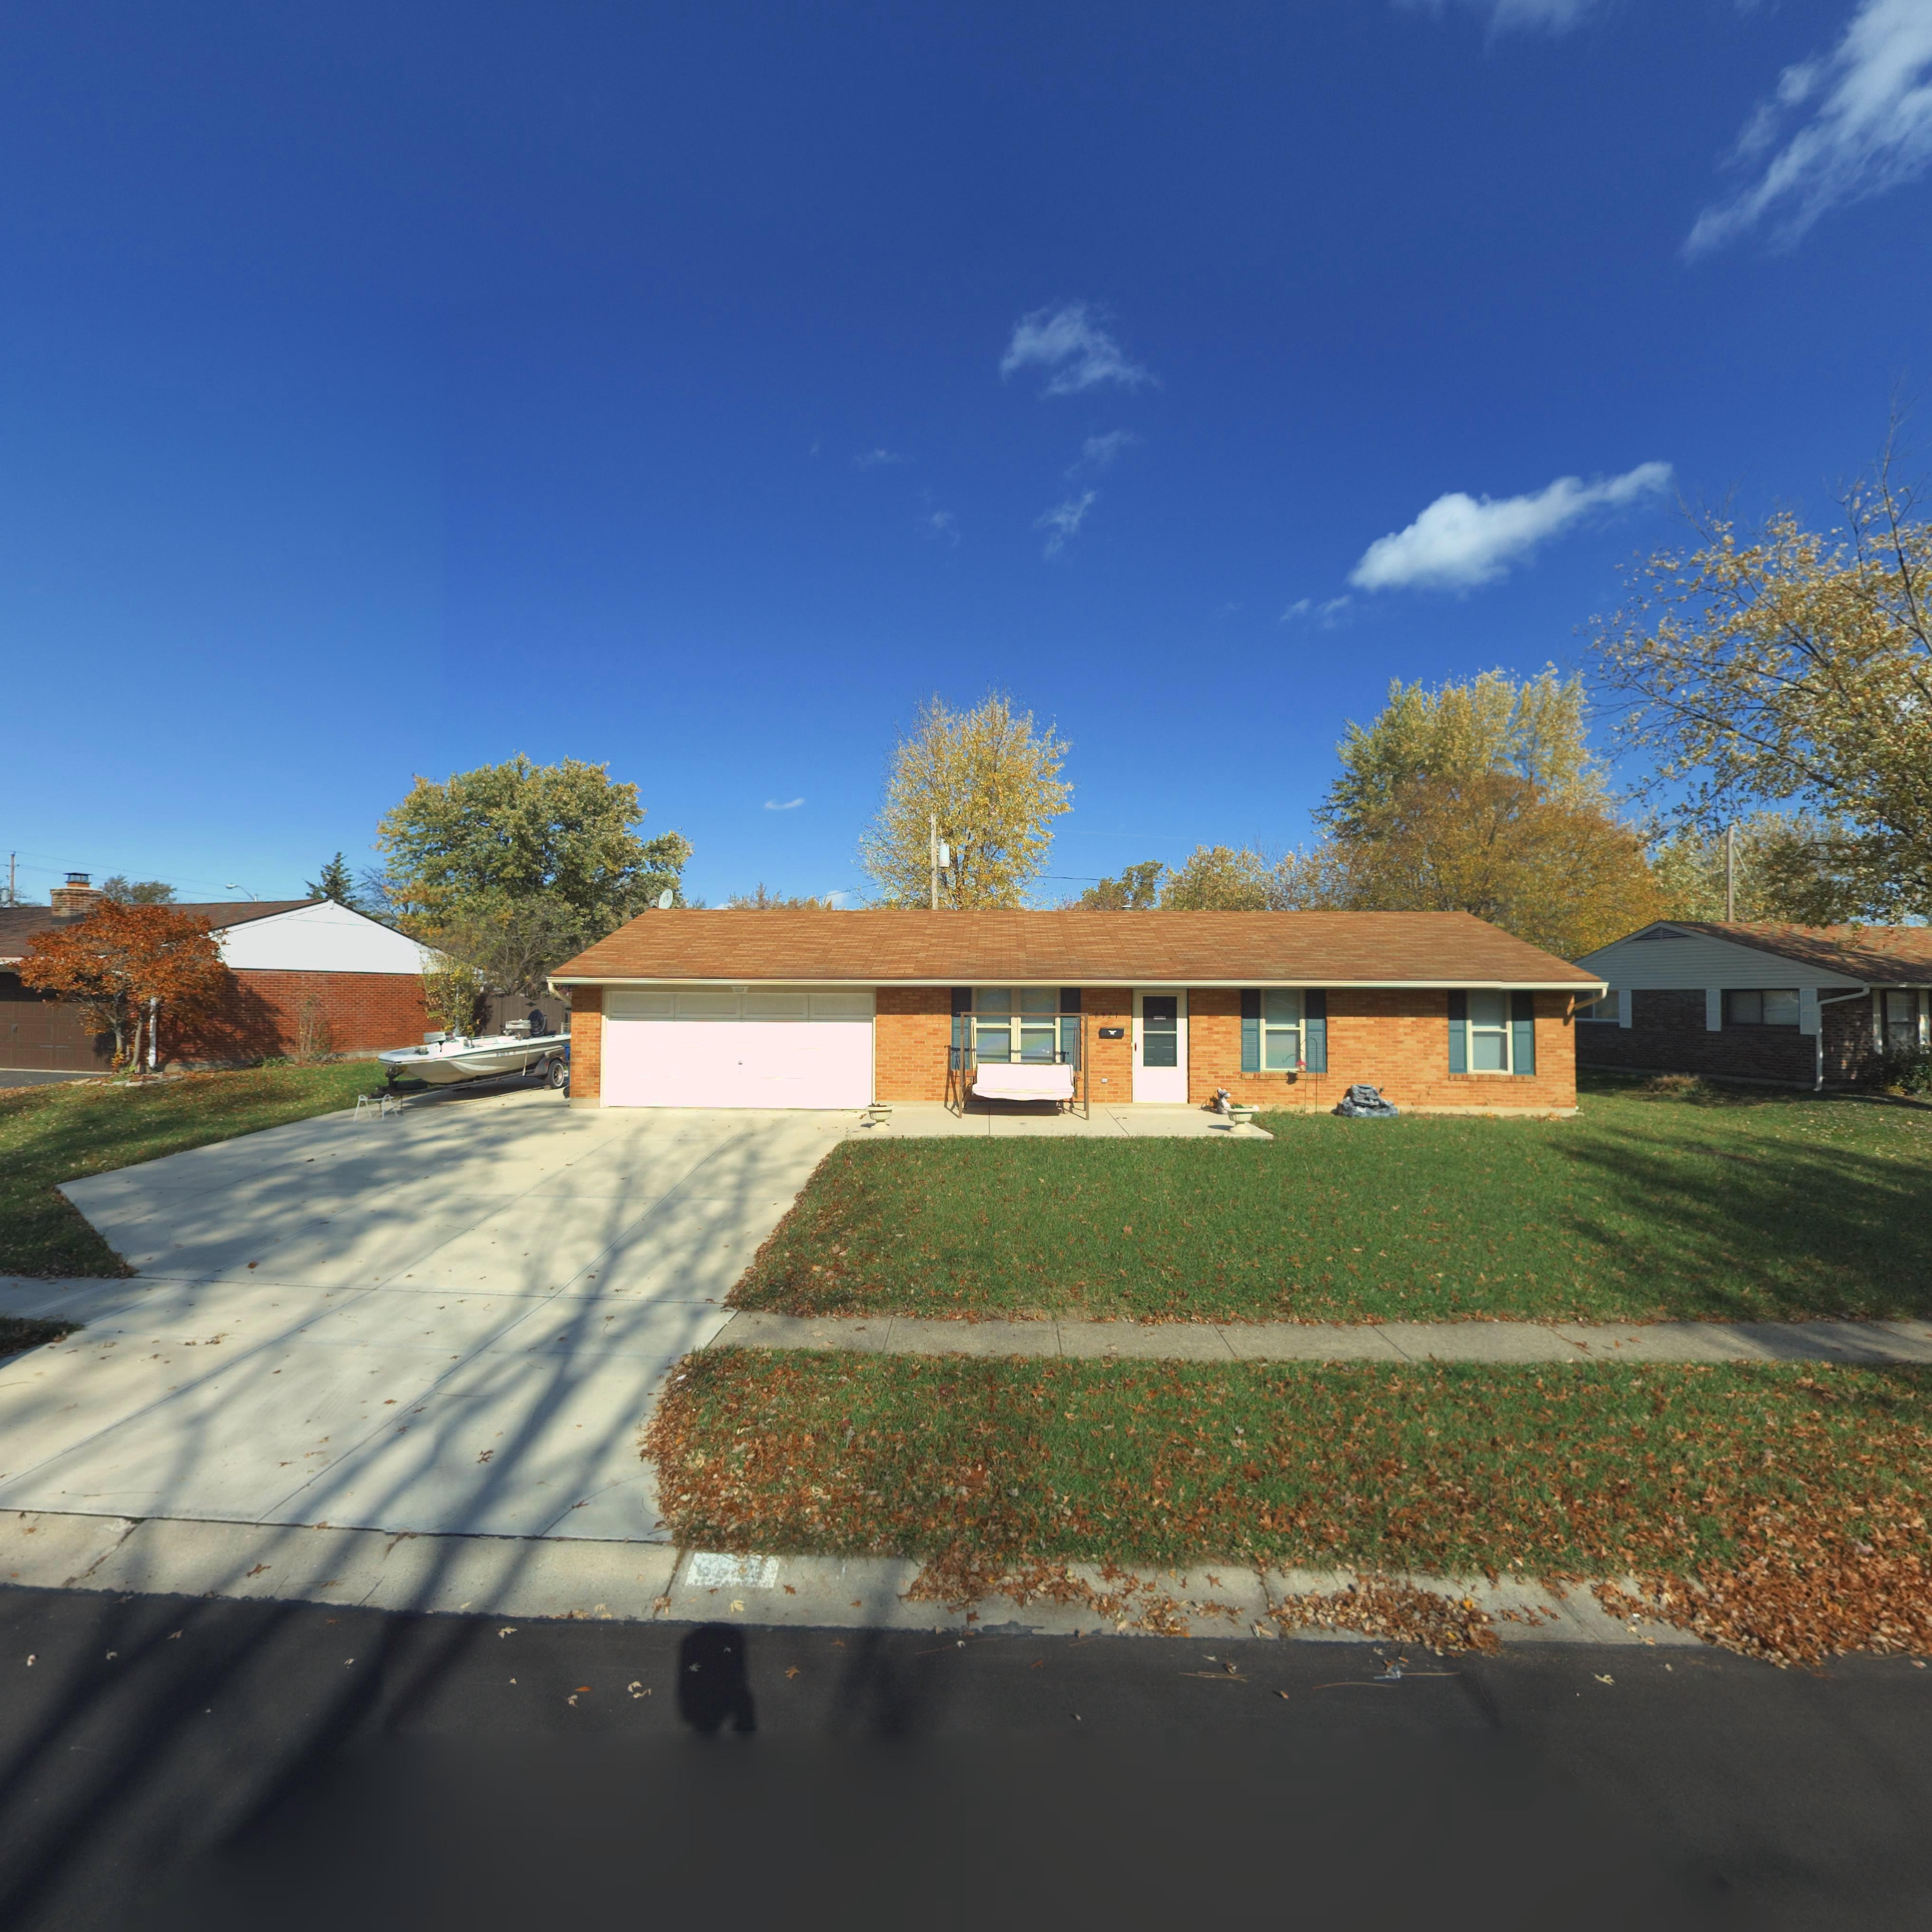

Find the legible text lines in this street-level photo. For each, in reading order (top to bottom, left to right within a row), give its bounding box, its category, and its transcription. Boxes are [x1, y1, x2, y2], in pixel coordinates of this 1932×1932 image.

[1094, 1011, 1119, 1020] StreetNumber: 6921